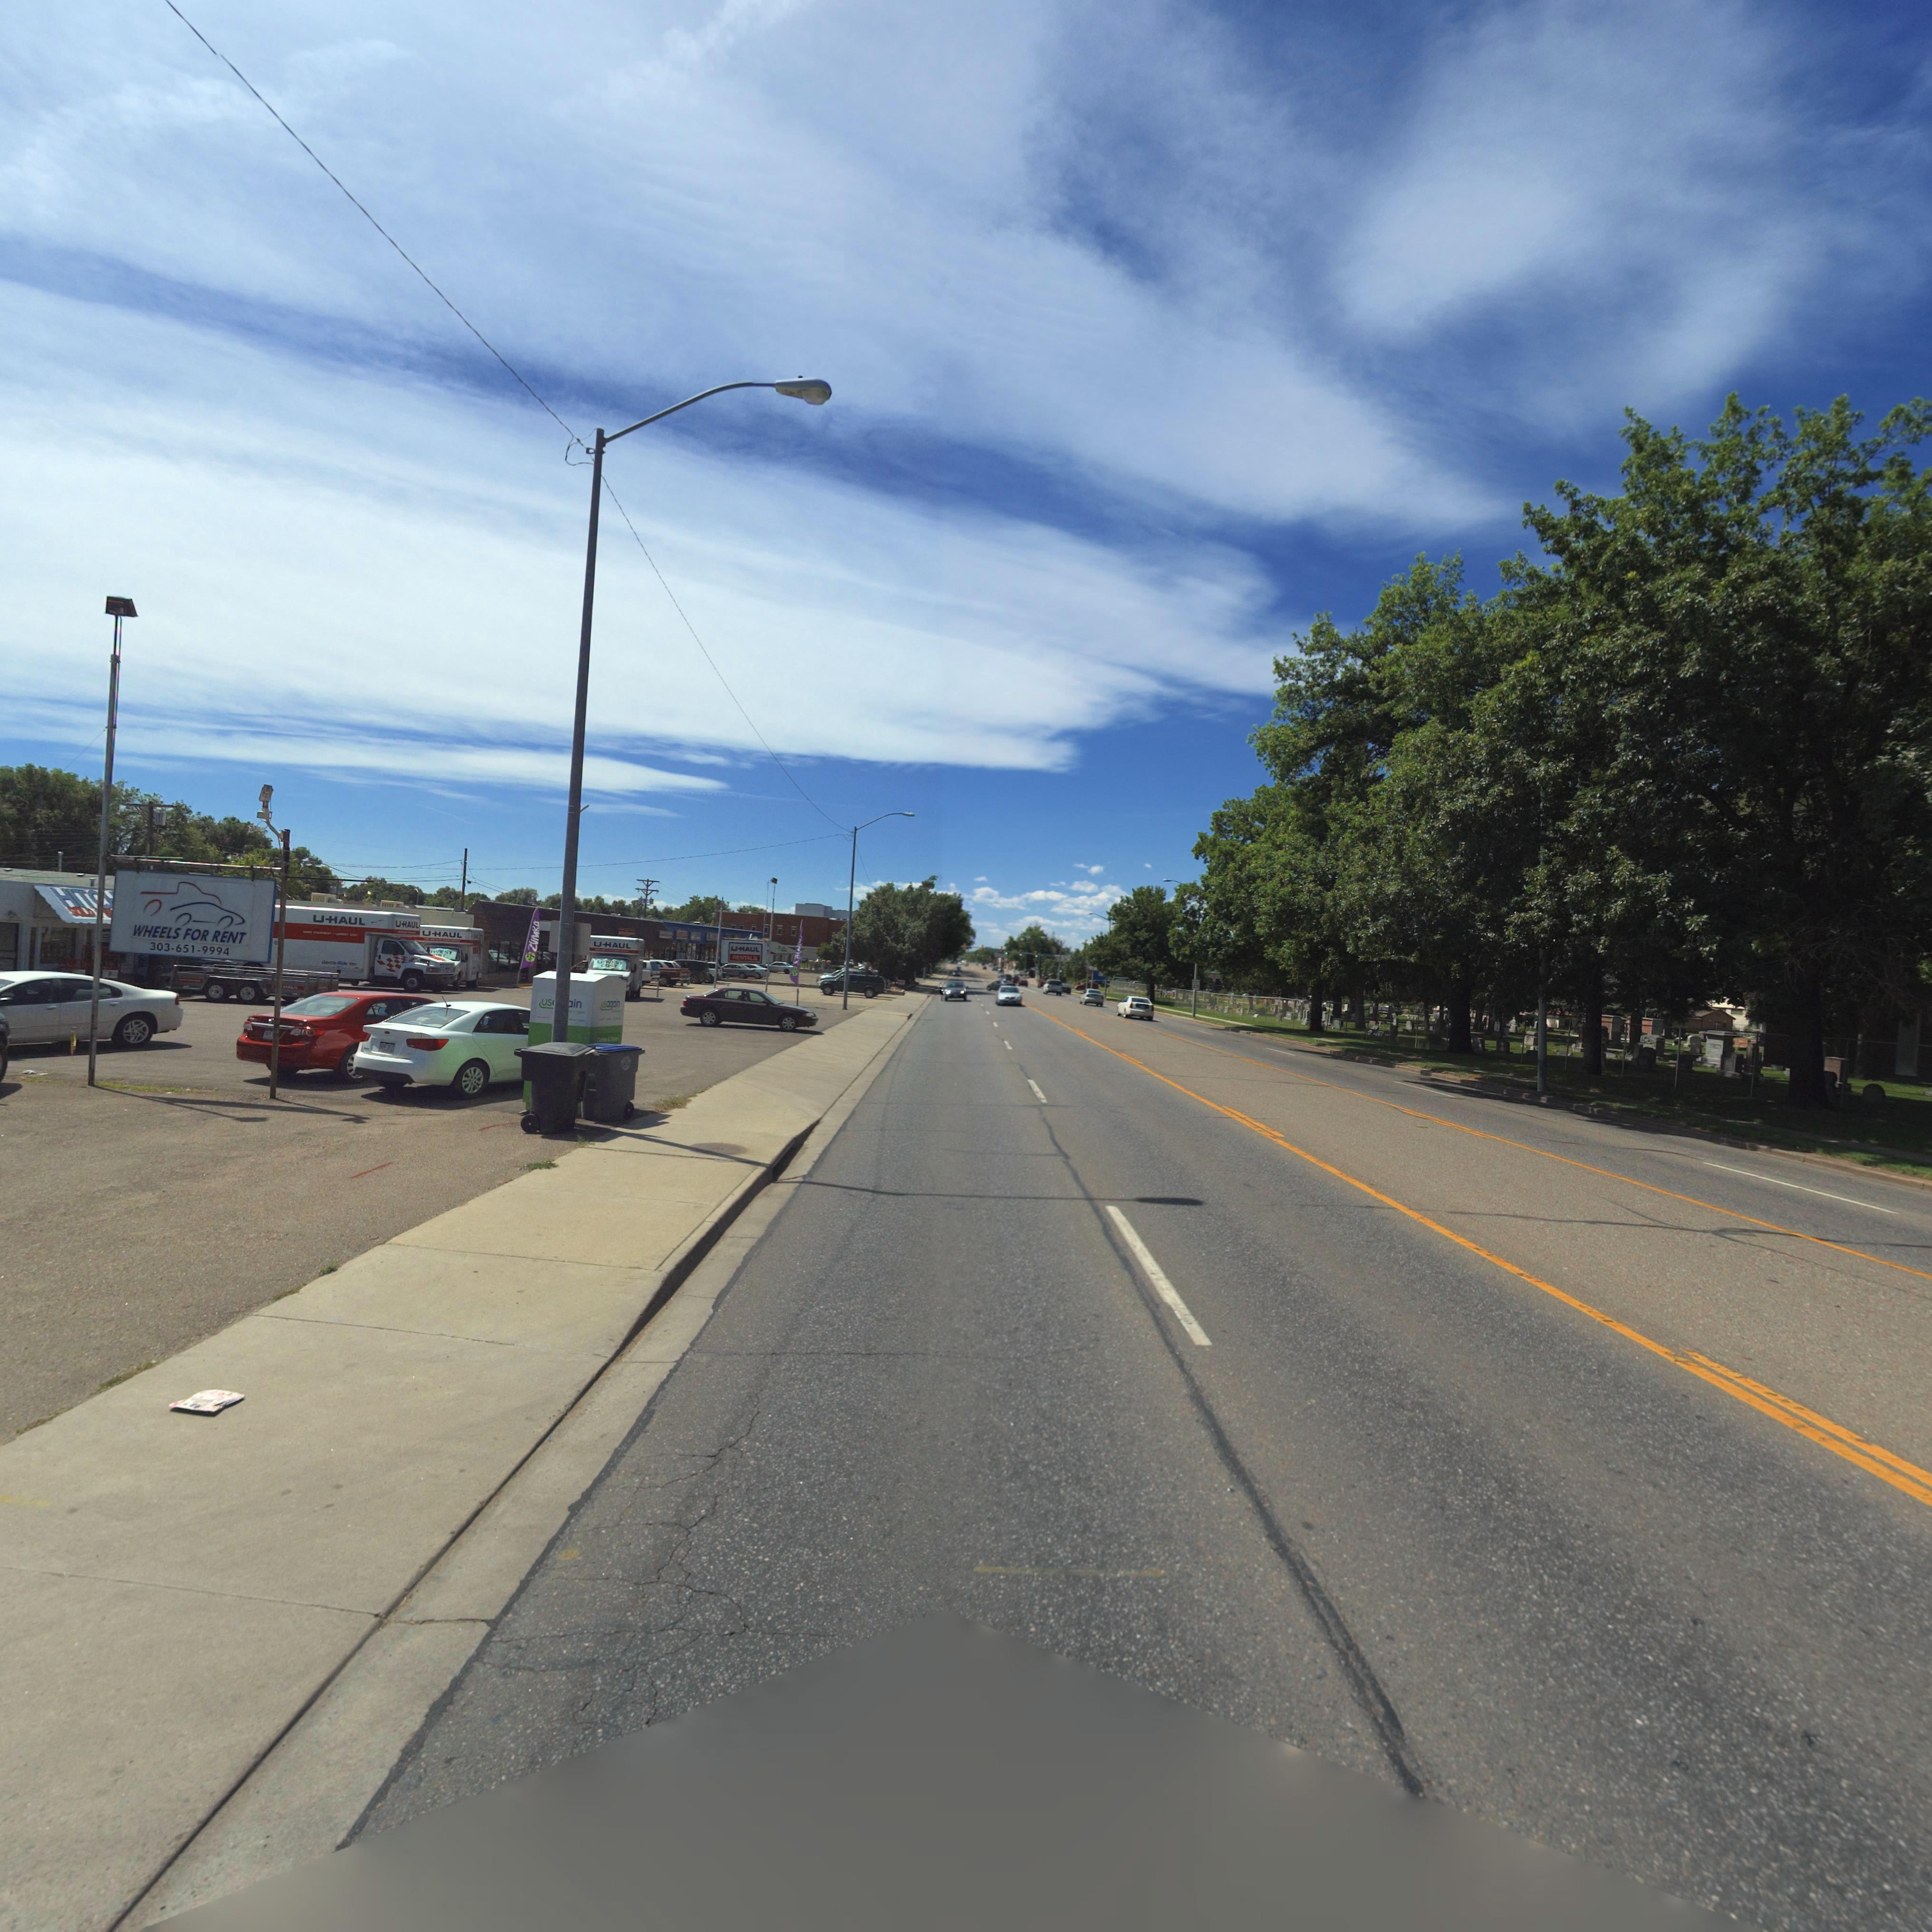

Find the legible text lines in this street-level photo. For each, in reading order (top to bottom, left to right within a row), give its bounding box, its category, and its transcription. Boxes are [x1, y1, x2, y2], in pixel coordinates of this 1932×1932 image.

[48, 887, 112, 908] BusinessName: HIT*
[132, 924, 247, 945] BusinessName: WHEELS FOR RENT
[733, 955, 757, 960] BusinessName: RENTALS
[731, 946, 759, 952] BusinessName: U -HAUL